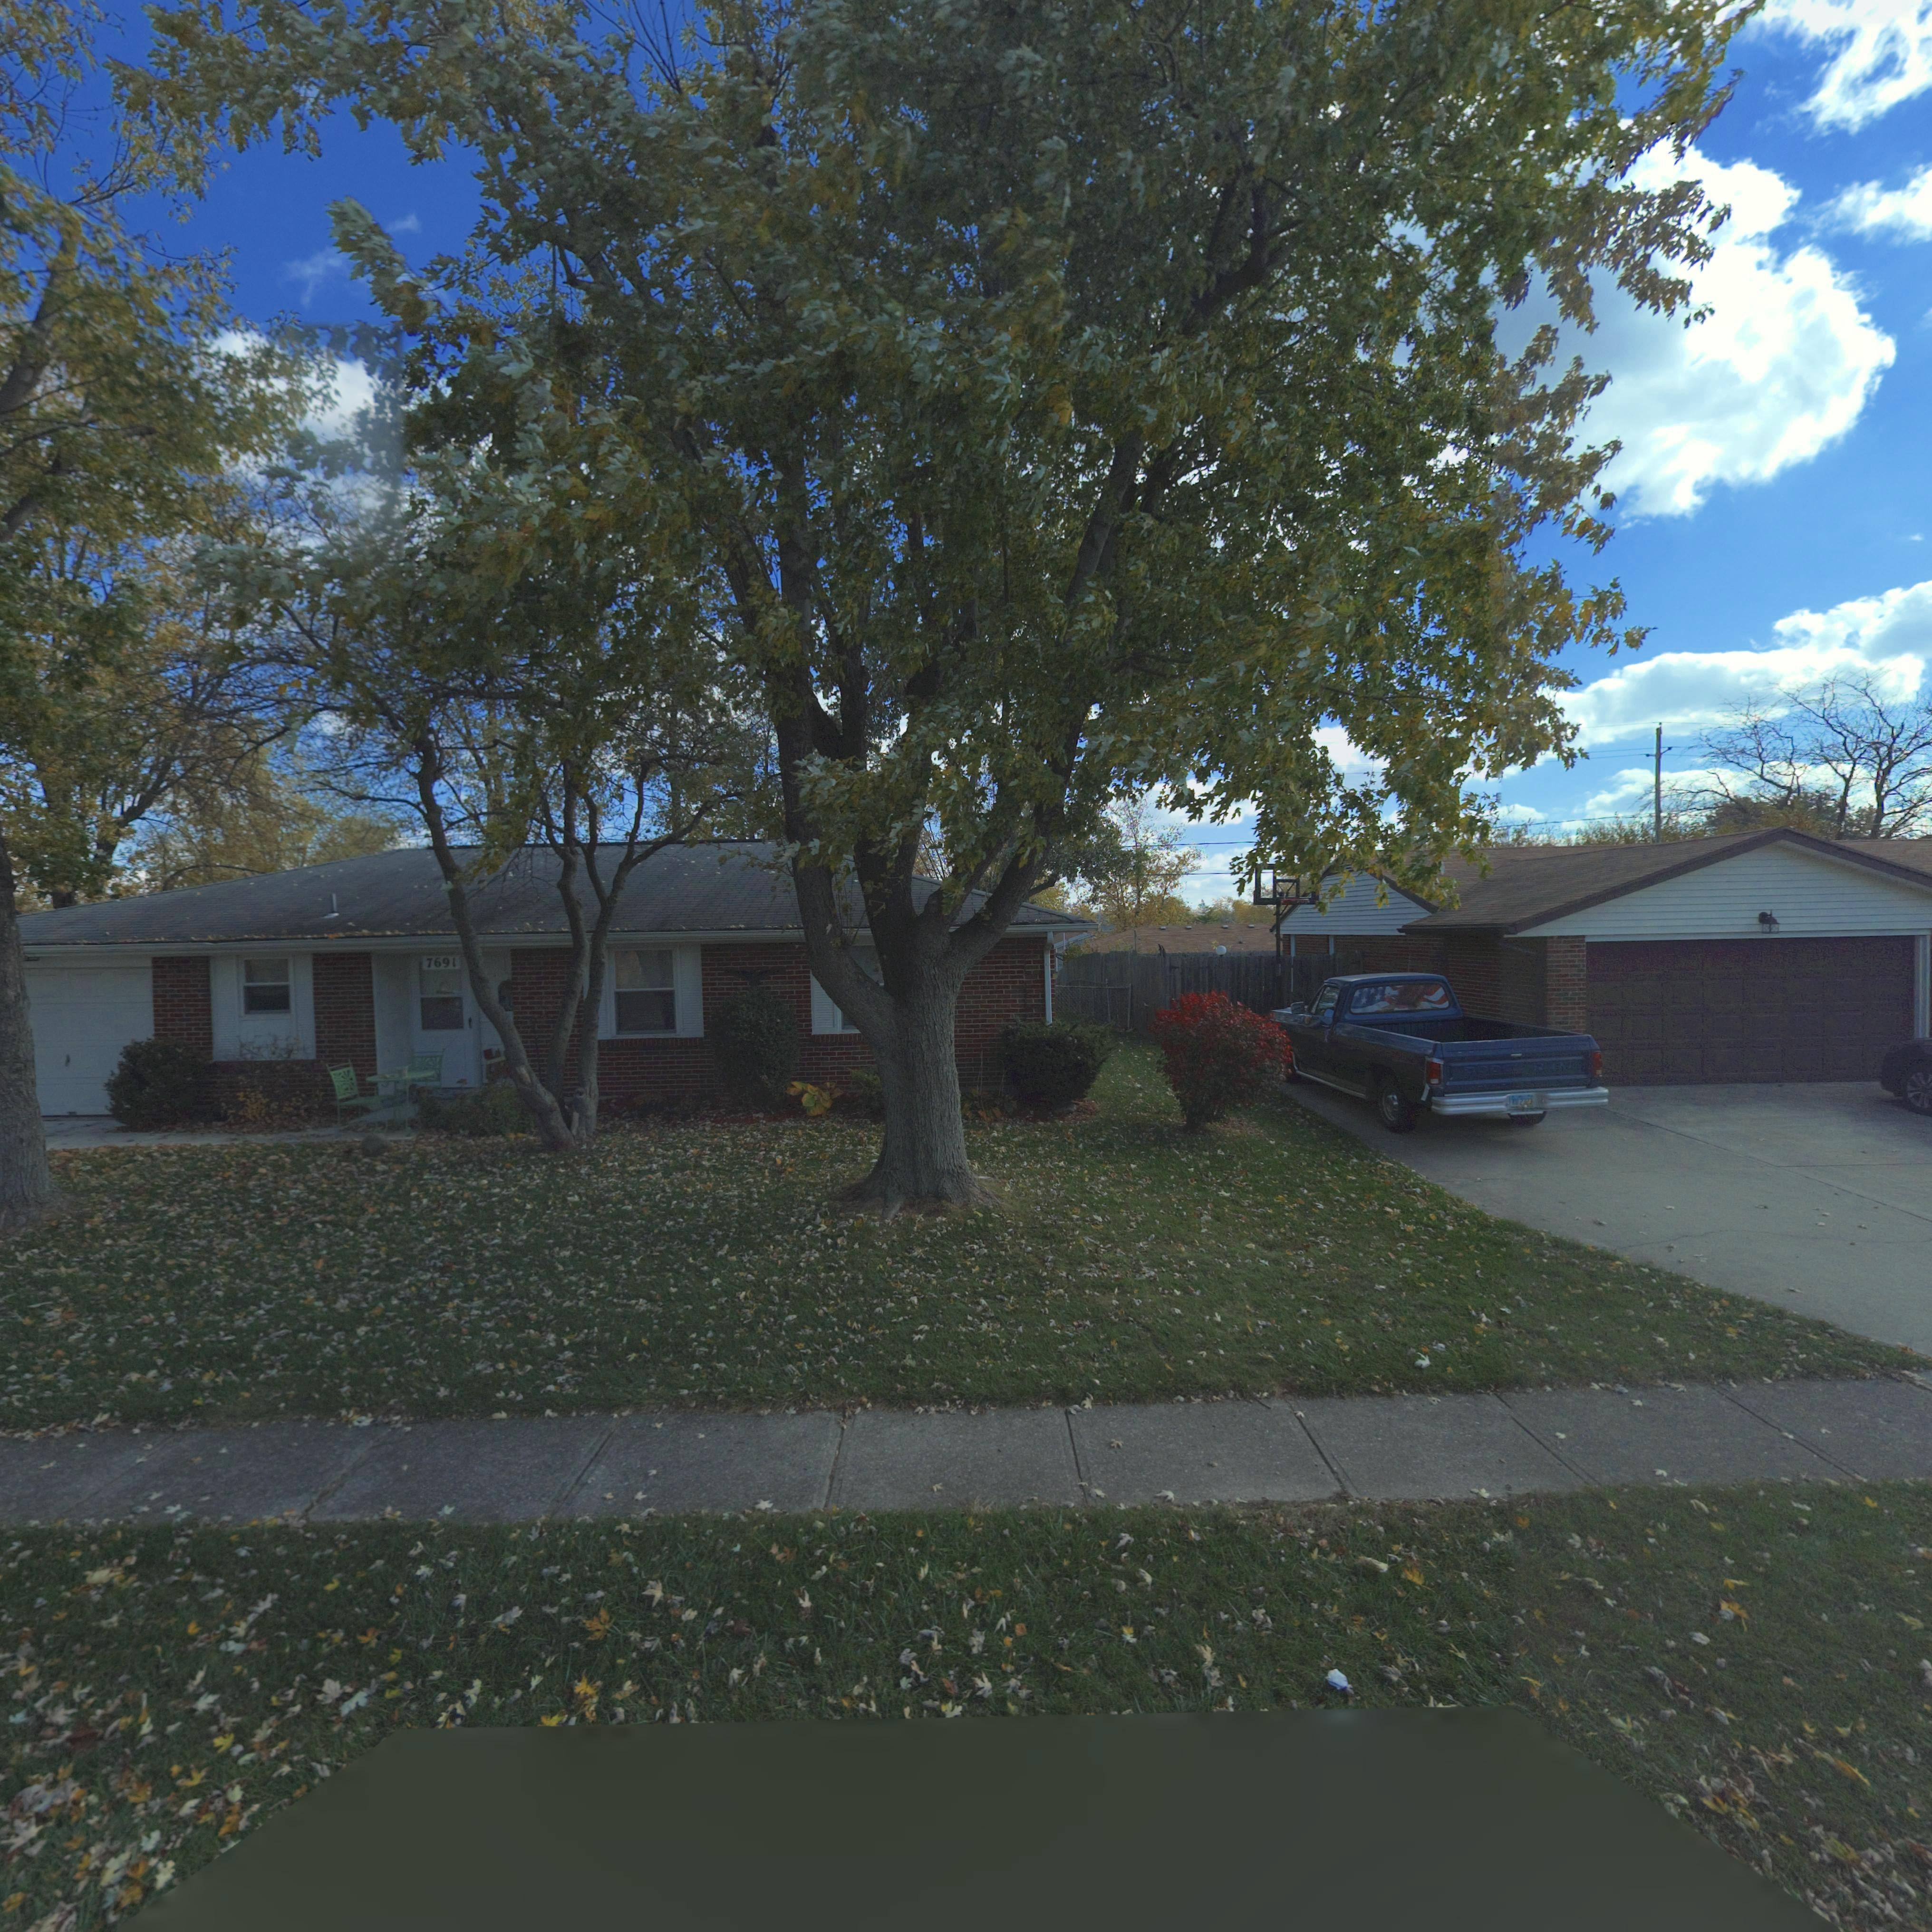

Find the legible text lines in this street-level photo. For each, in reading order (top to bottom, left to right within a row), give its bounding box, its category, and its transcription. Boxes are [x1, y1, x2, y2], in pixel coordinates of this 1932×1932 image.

[425, 956, 457, 968] StreetNumber: 7691